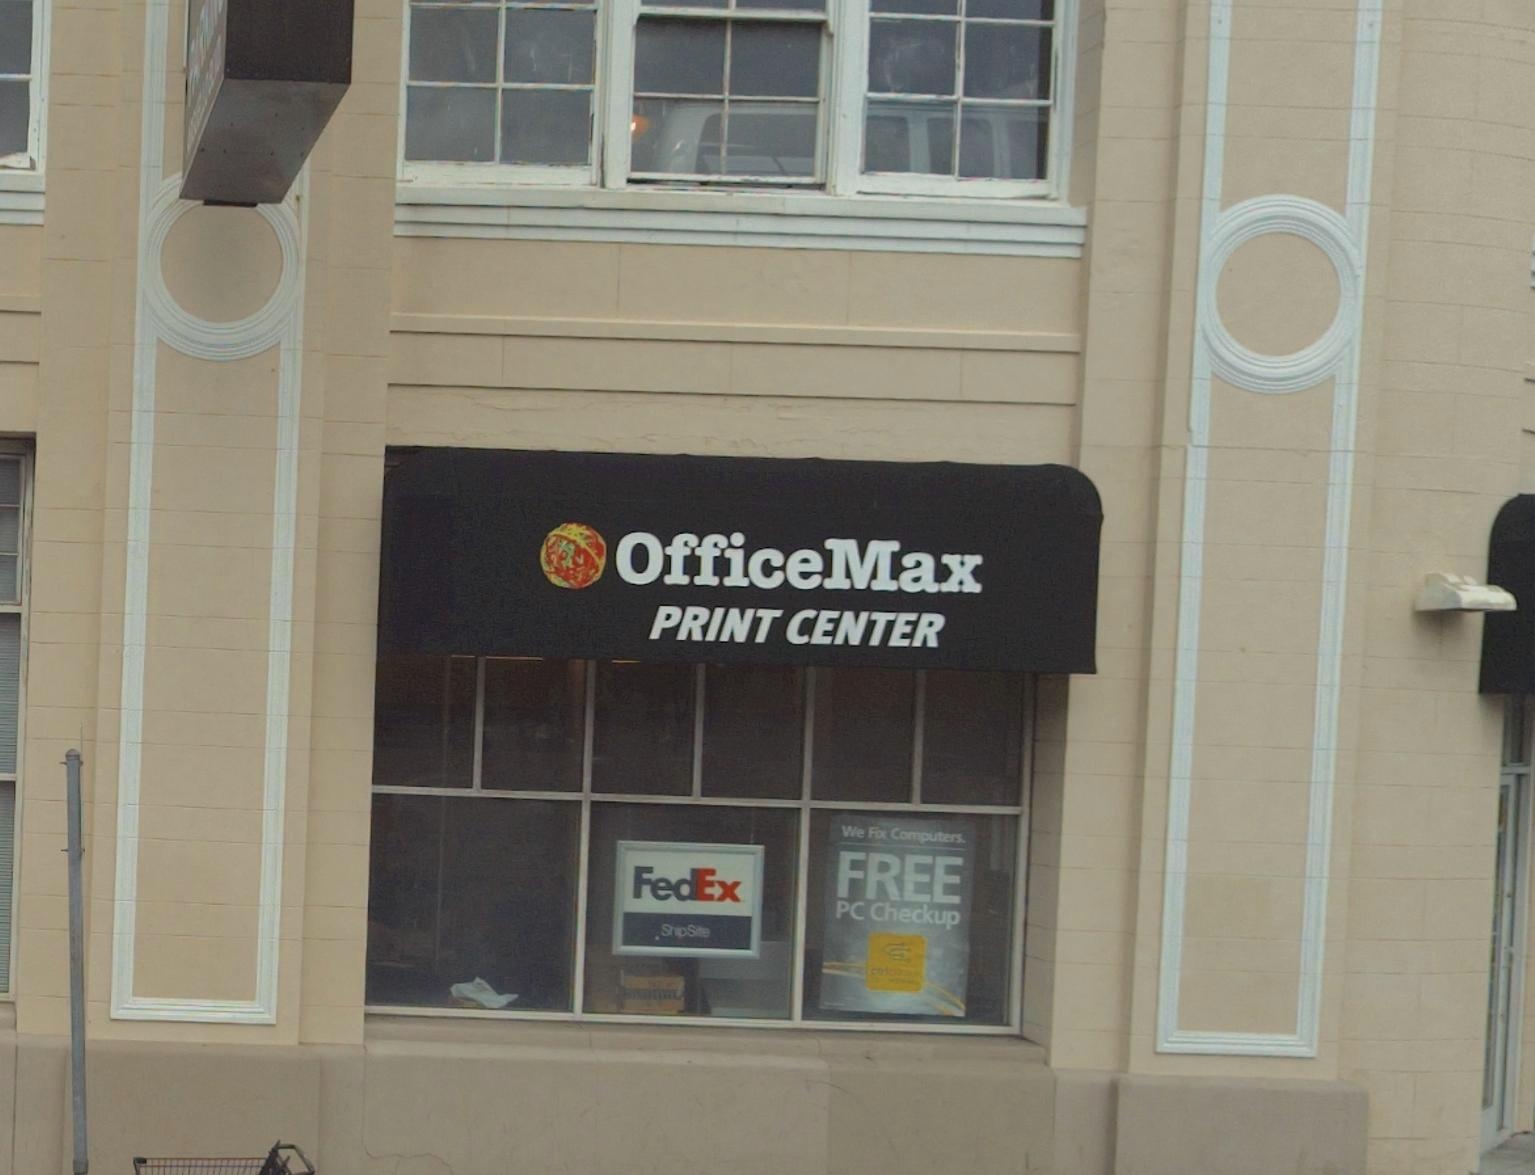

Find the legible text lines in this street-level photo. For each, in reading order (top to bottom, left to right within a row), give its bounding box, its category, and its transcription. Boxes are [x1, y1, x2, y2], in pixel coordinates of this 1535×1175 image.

[612, 526, 987, 597] BusinessName: OfficeMax
[640, 602, 955, 651] None: PRINT CENTER
[837, 822, 968, 846] None: We Fix Computers.
[630, 863, 747, 906] None: FedEx
[833, 847, 965, 911] None: FREE
[657, 922, 715, 943] None: ShipSite
[832, 899, 963, 934] None: PC Checkup